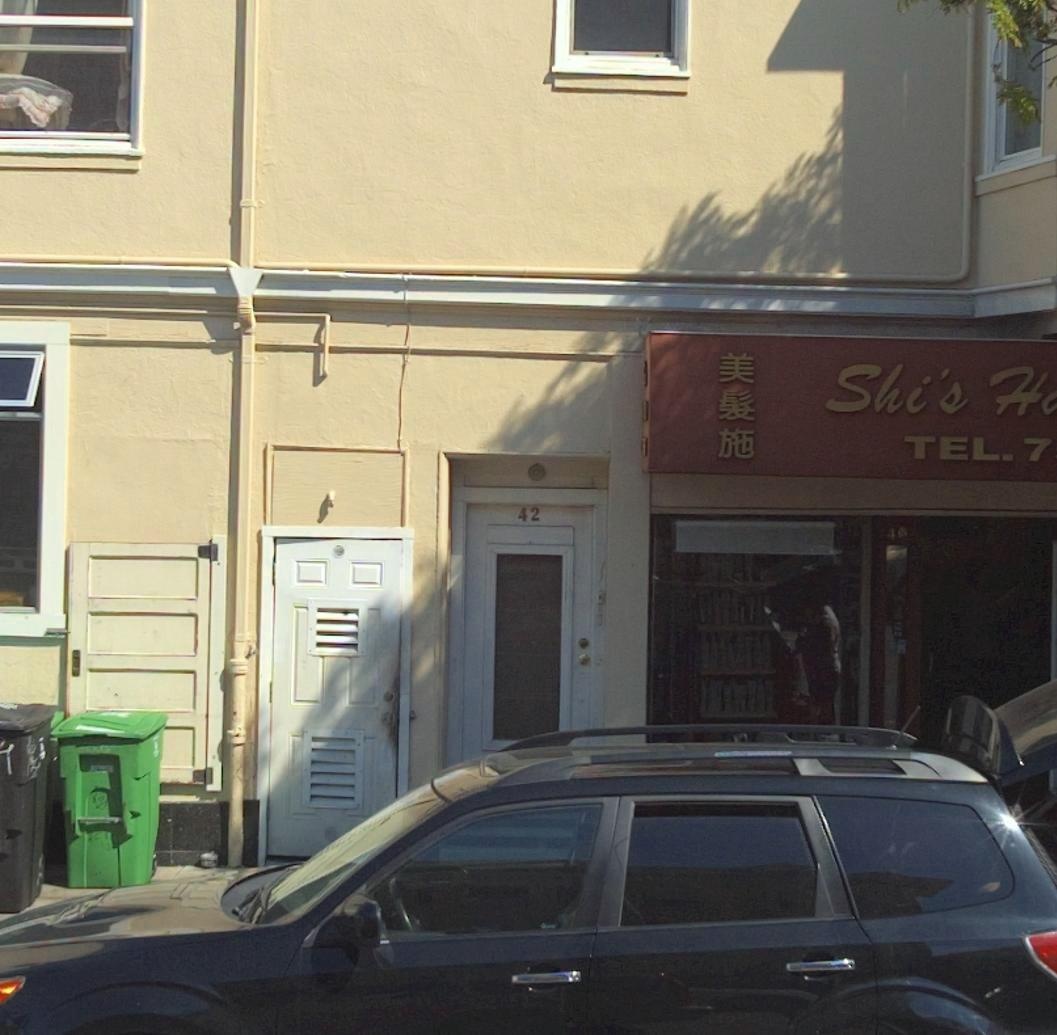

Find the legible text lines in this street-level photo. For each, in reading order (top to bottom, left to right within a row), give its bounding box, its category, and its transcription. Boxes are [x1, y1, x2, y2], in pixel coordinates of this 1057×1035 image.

[821, 360, 1048, 419] BusinessName: Shi's H
[903, 432, 1050, 465] None: TEL. 7
[516, 504, 542, 524] StreetNumber: 42